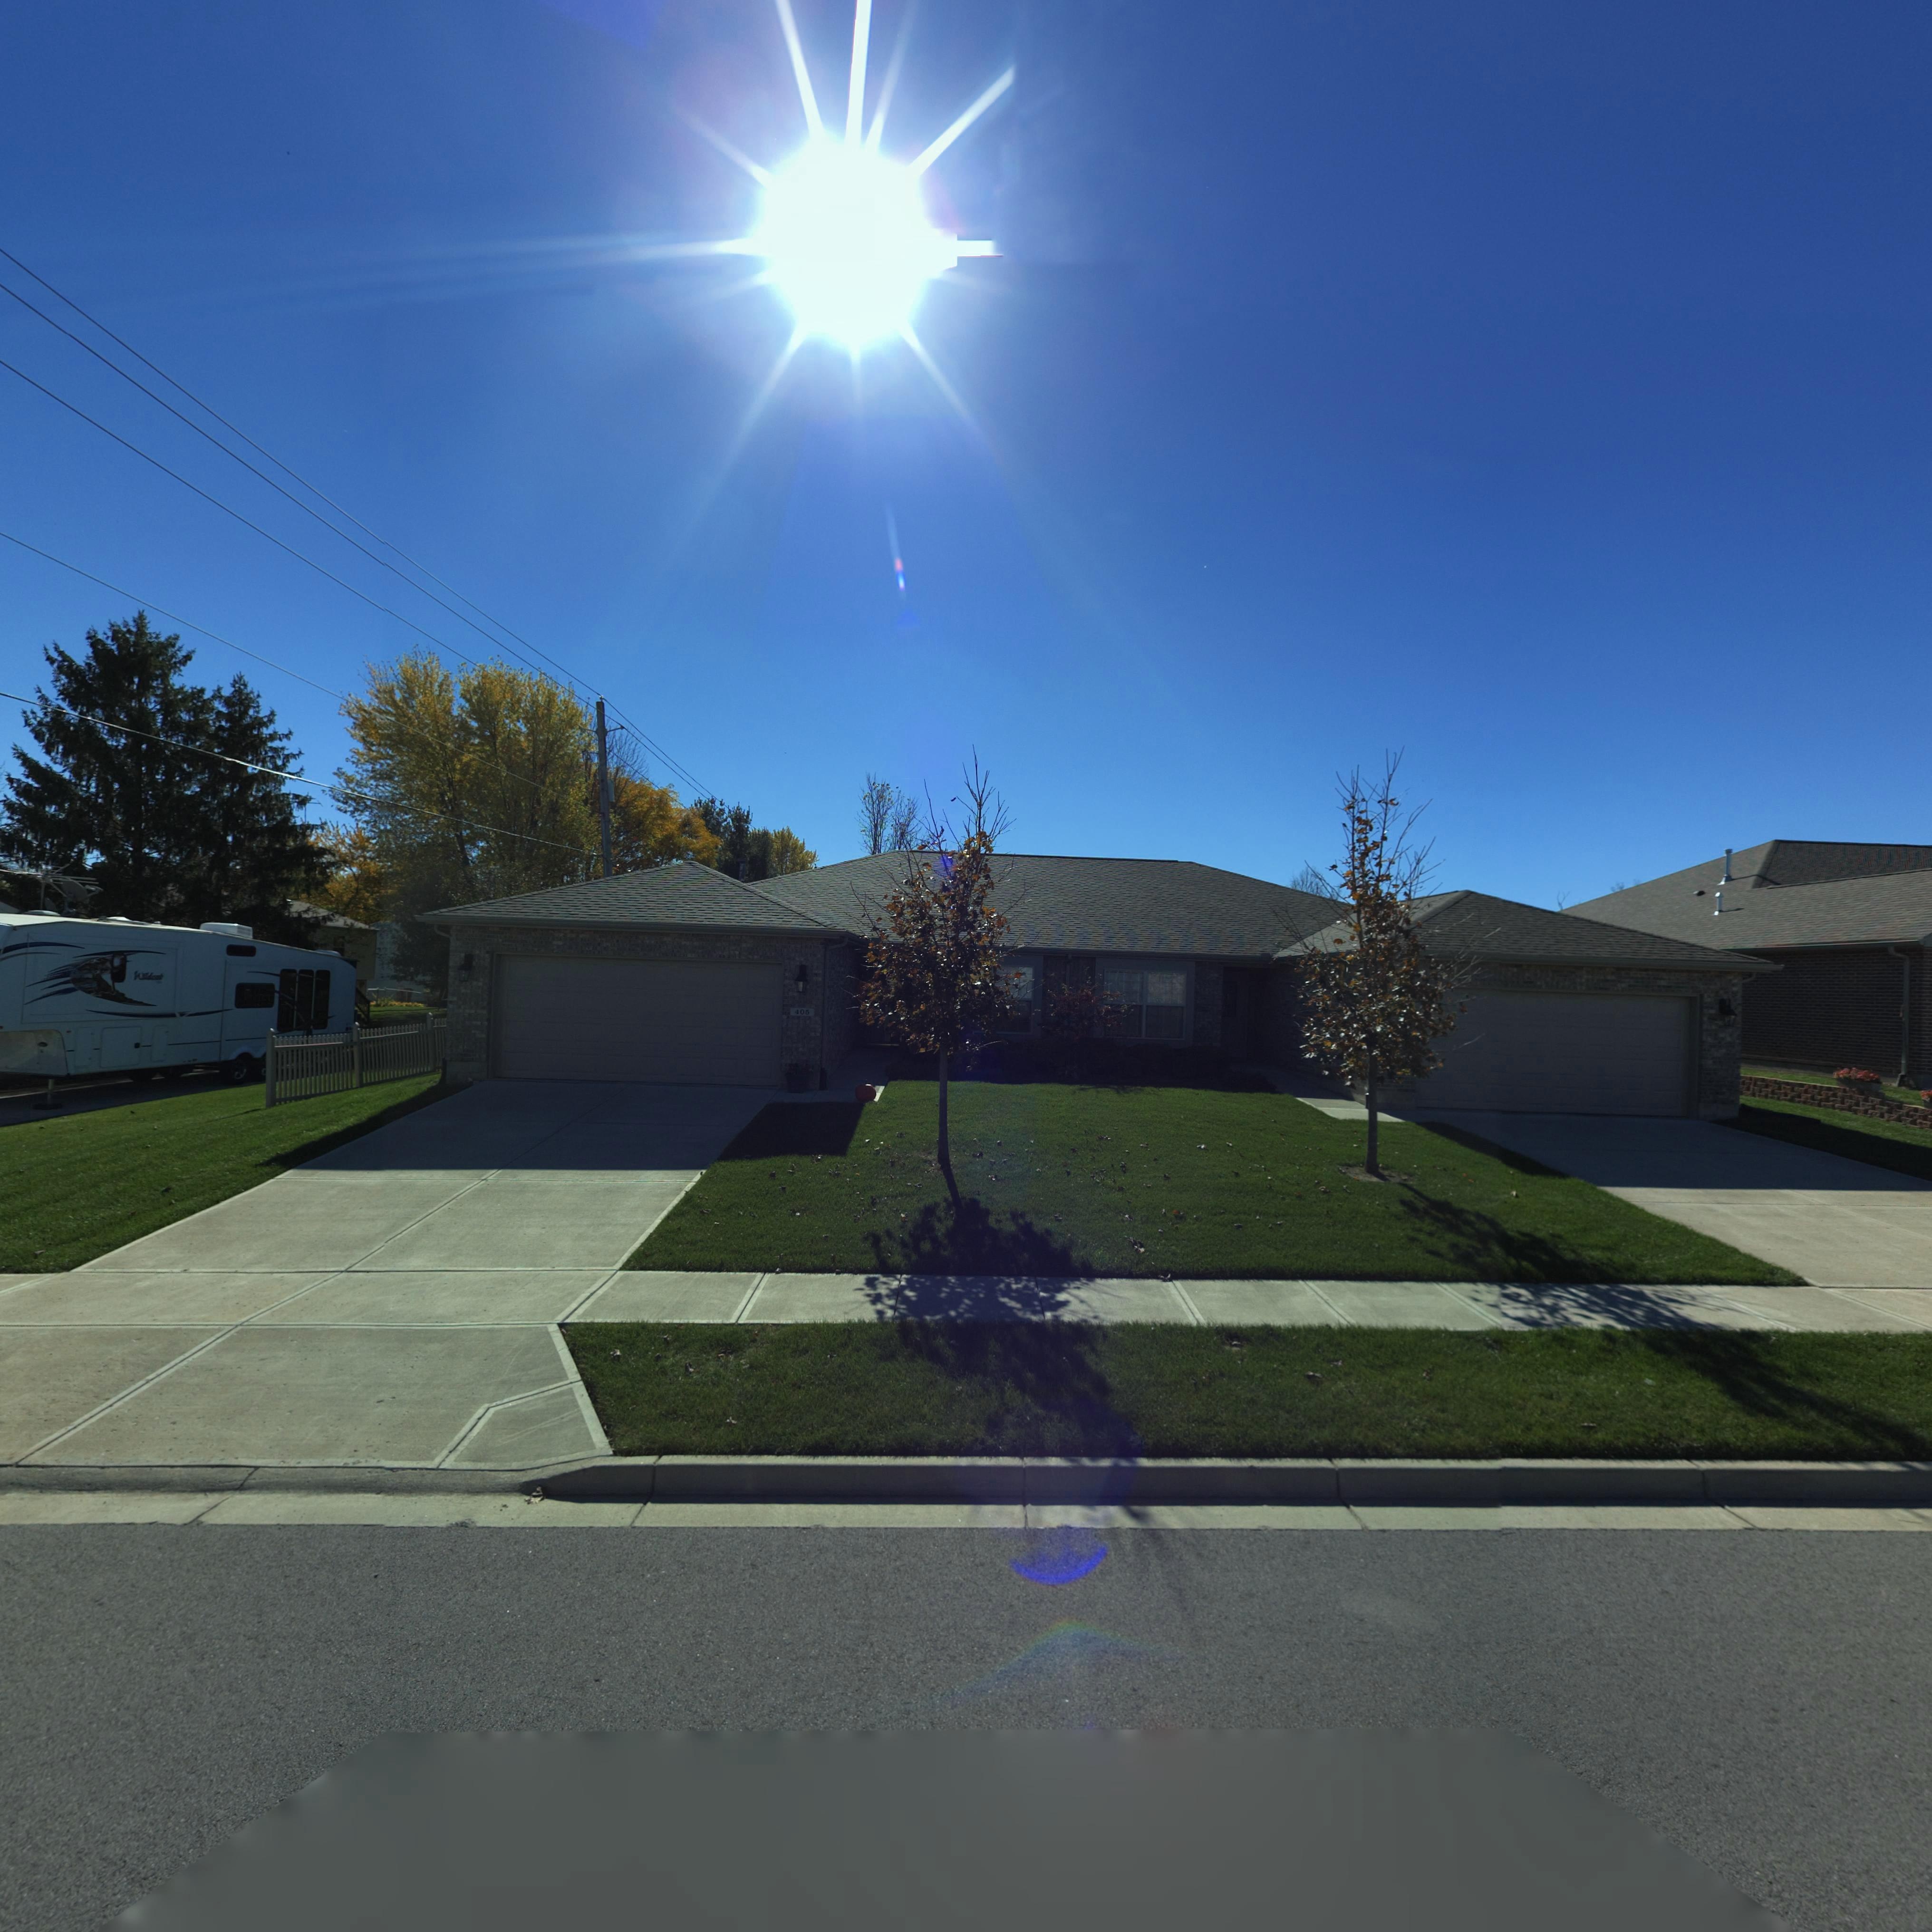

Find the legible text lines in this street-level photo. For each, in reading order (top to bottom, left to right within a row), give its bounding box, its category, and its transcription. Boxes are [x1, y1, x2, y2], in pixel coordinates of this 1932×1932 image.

[794, 1008, 810, 1015] StreetNumber: 40*